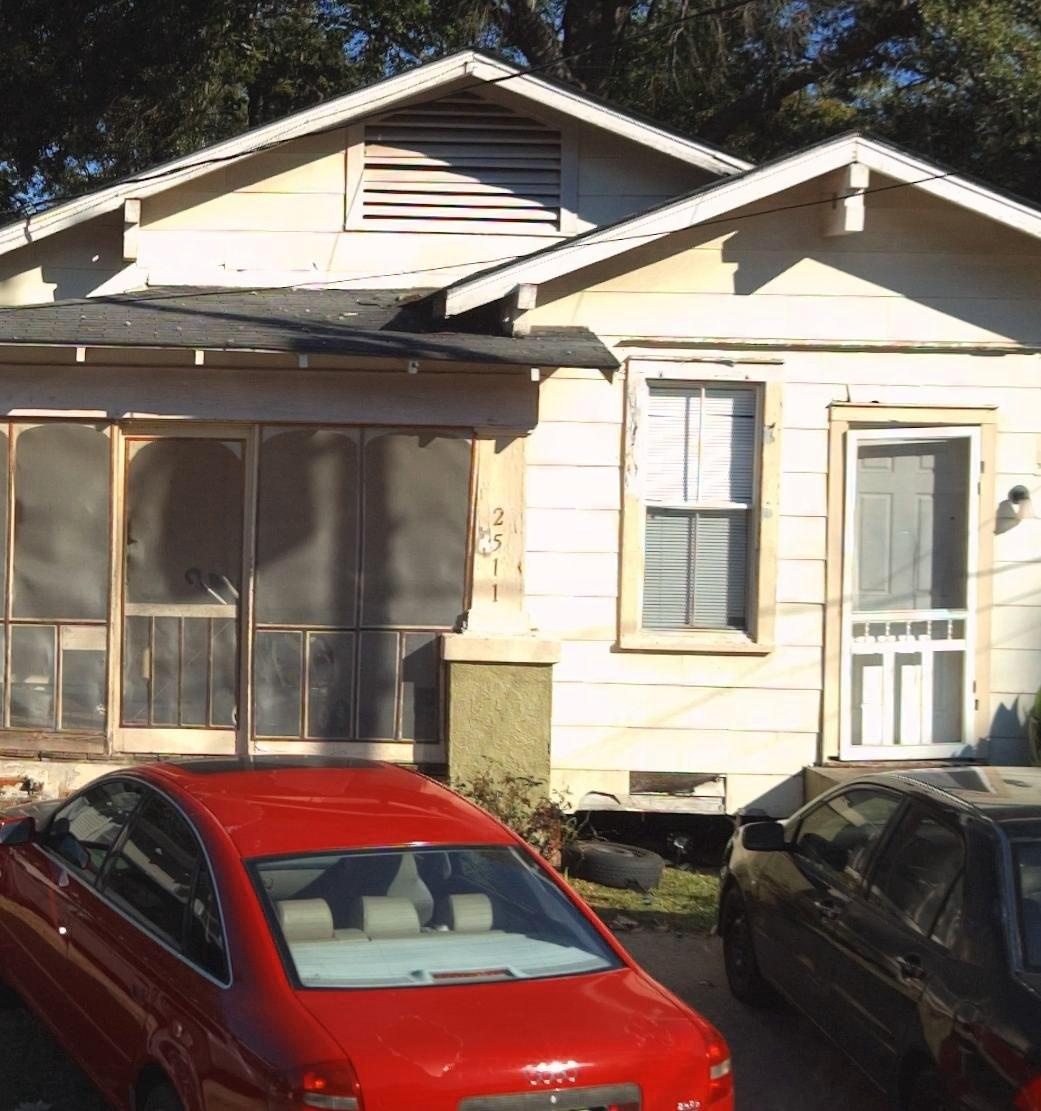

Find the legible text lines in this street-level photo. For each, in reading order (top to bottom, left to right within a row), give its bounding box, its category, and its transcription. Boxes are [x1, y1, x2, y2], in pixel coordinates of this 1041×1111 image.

[489, 504, 507, 605] StreetNumber: 2511